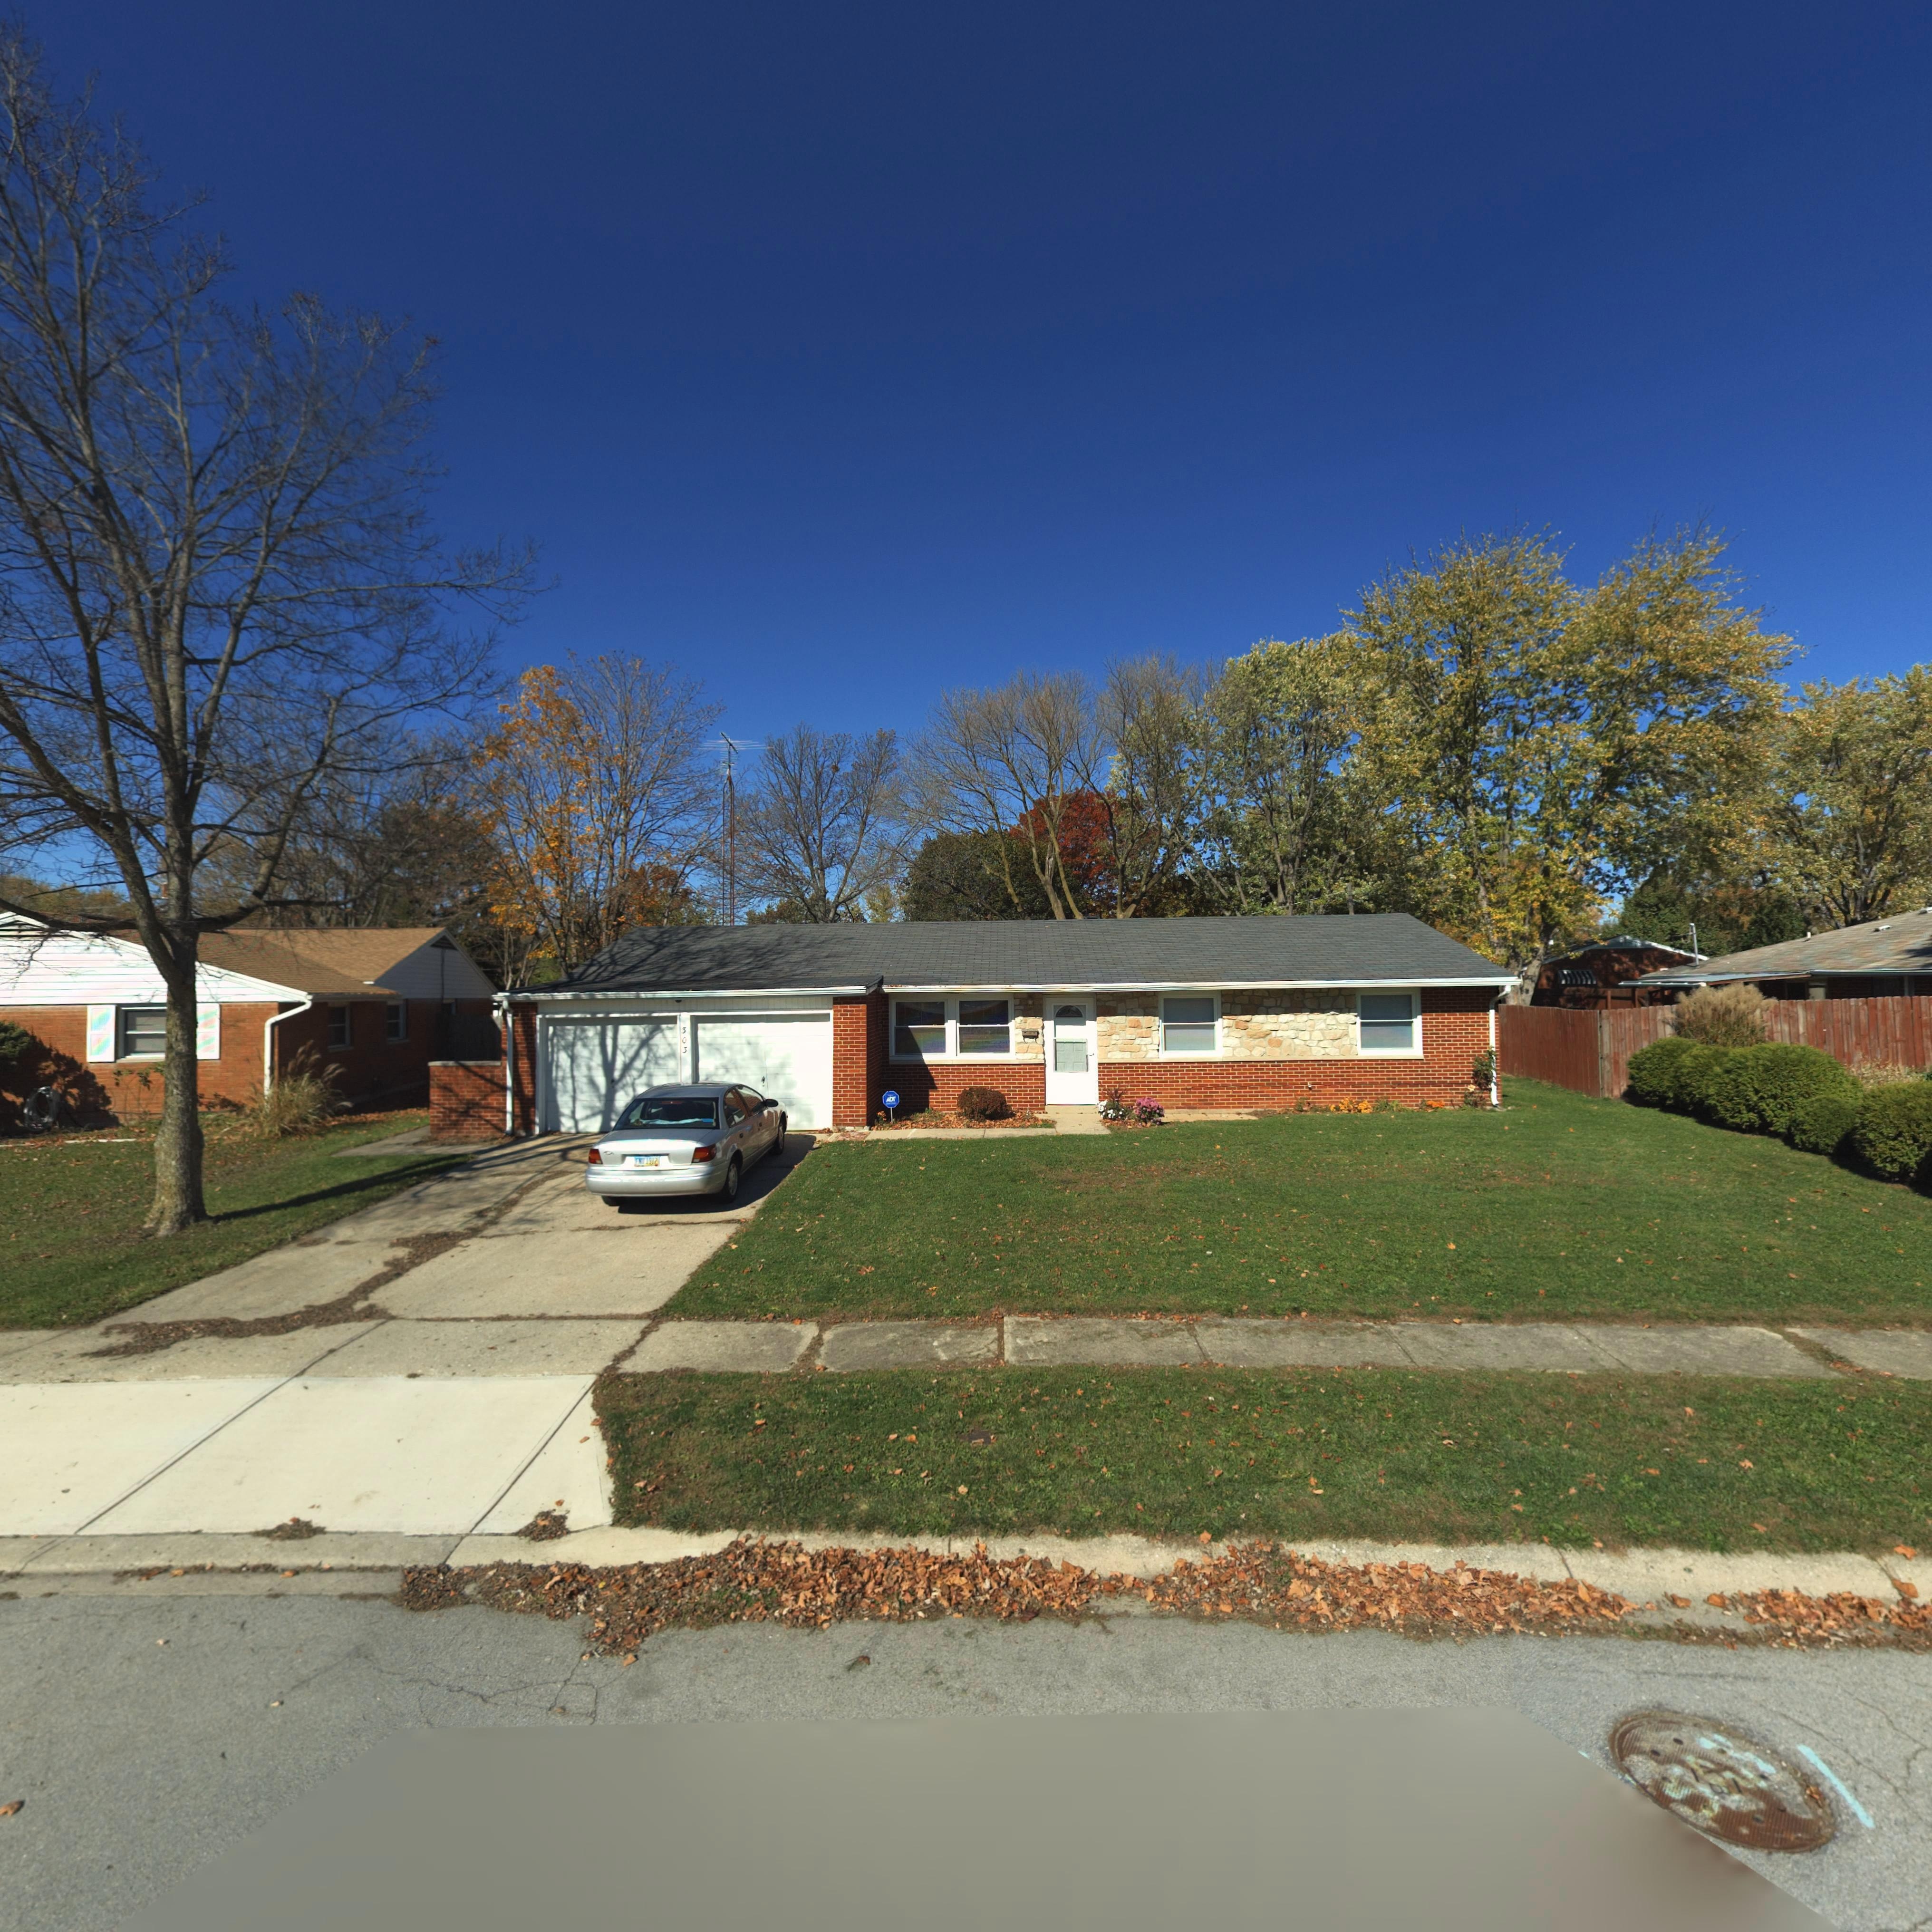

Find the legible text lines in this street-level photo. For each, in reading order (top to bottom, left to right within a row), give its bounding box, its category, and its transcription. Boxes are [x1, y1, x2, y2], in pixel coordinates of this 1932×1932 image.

[681, 1025, 689, 1054] StreetNumber: 303
[885, 1096, 897, 1102] None: ADT
[645, 1157, 658, 1165] None: 1912